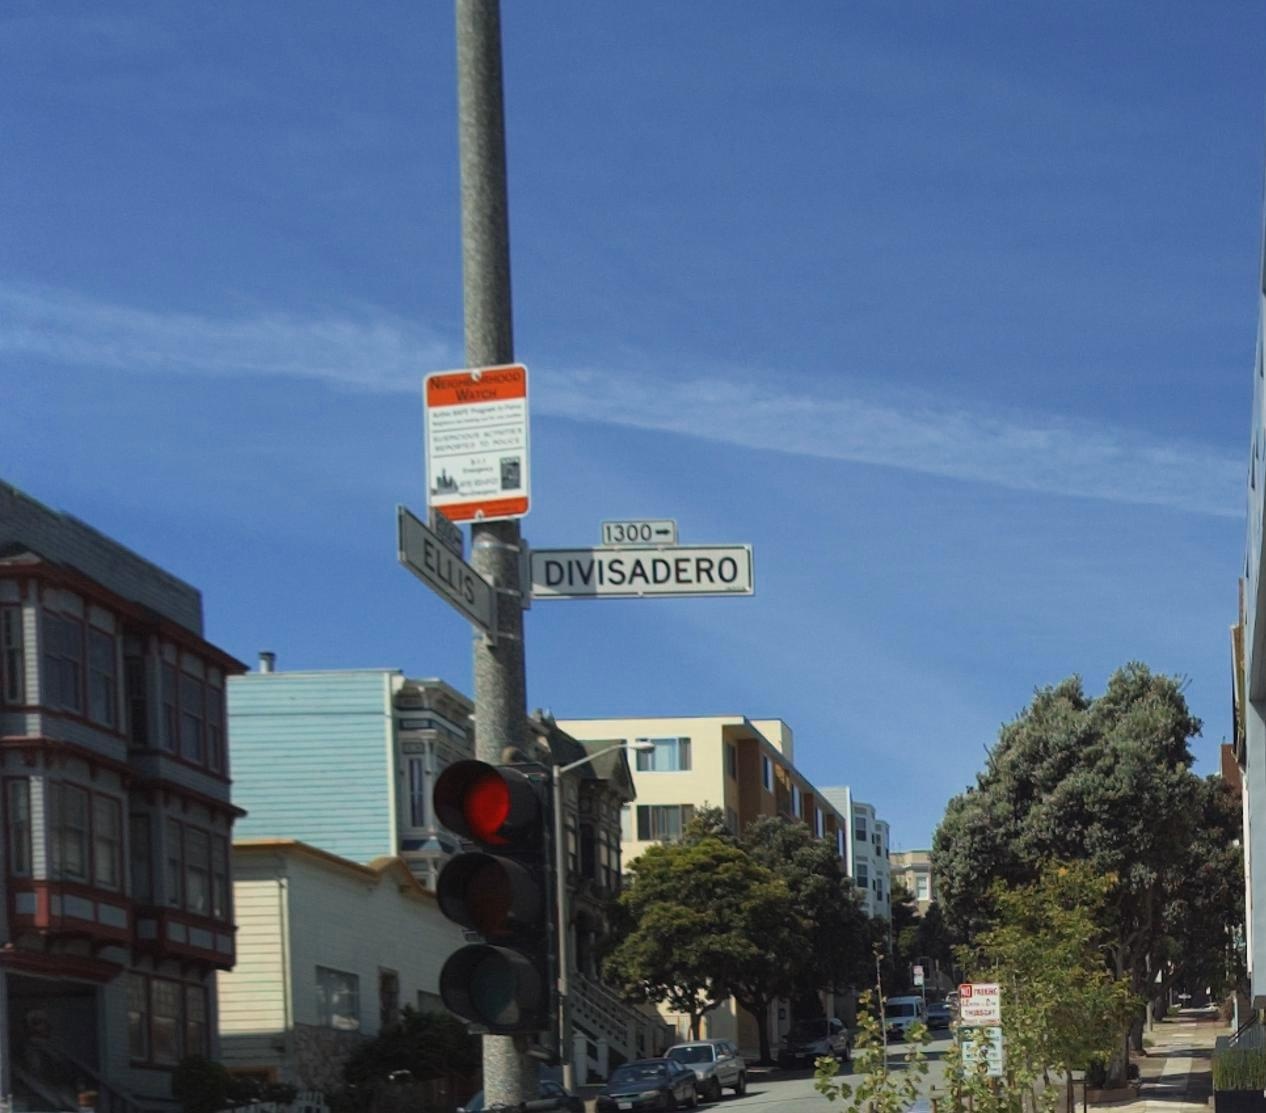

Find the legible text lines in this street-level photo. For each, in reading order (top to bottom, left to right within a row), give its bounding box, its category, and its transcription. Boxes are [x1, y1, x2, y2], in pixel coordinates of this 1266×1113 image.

[426, 368, 524, 390] None: NEIGHBORHOOD
[453, 387, 500, 403] None: WATCH
[434, 504, 465, 555] StreetNumberRange: **00->
[602, 520, 672, 544] StreetNumberRange: 1300->
[421, 526, 477, 613] StreetName: ELLIS
[539, 554, 741, 588] StreetName: DIVISADERO